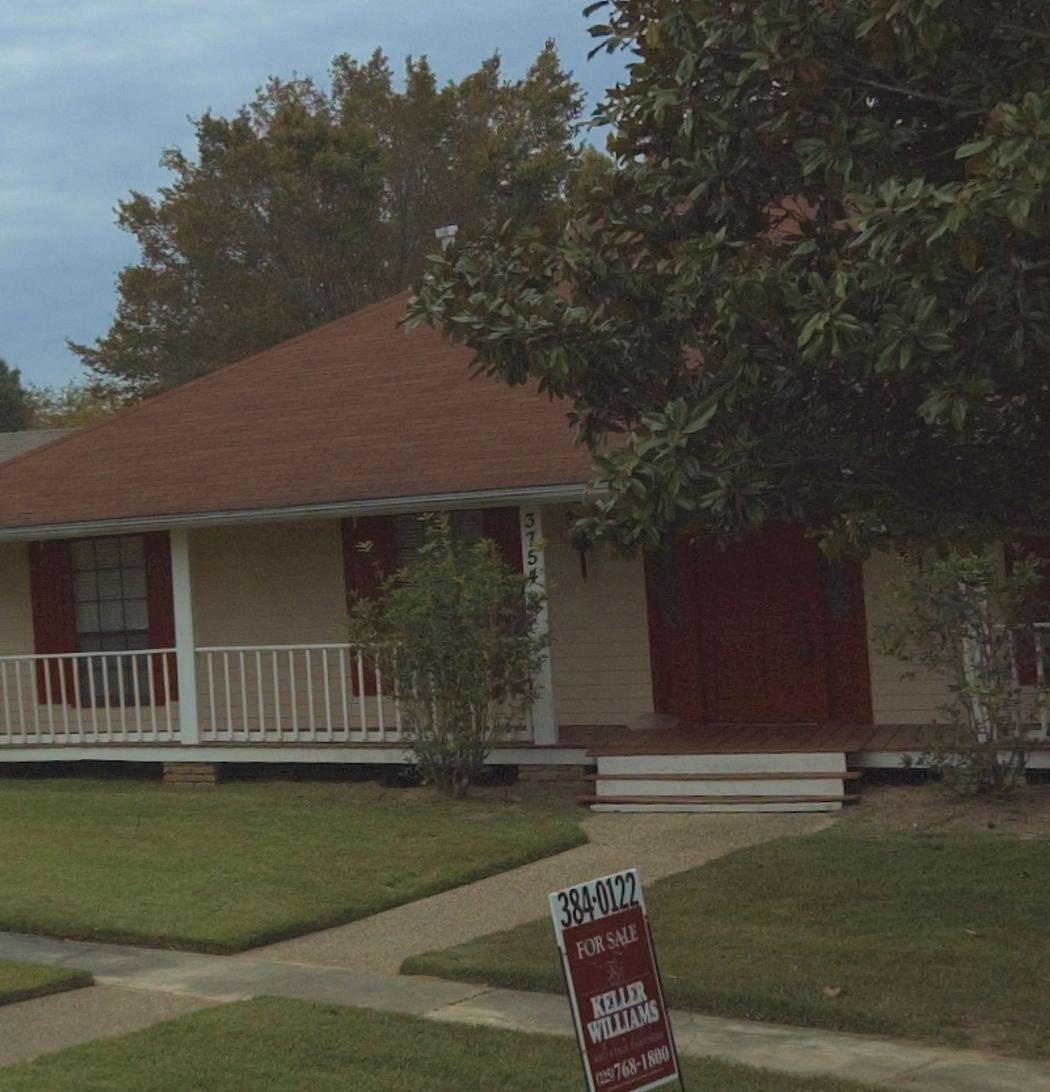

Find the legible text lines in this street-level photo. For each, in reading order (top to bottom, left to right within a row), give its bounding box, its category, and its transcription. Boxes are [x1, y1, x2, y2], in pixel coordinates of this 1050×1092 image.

[524, 512, 539, 584] StreetNumber: 3754
[556, 870, 641, 930] None: 384-0122
[574, 922, 640, 962] None: FOR SALE
[589, 978, 650, 1021] None: KELLER
[584, 998, 661, 1047] None: WILLIAMS
[593, 1043, 672, 1089] None: (235)768-1800